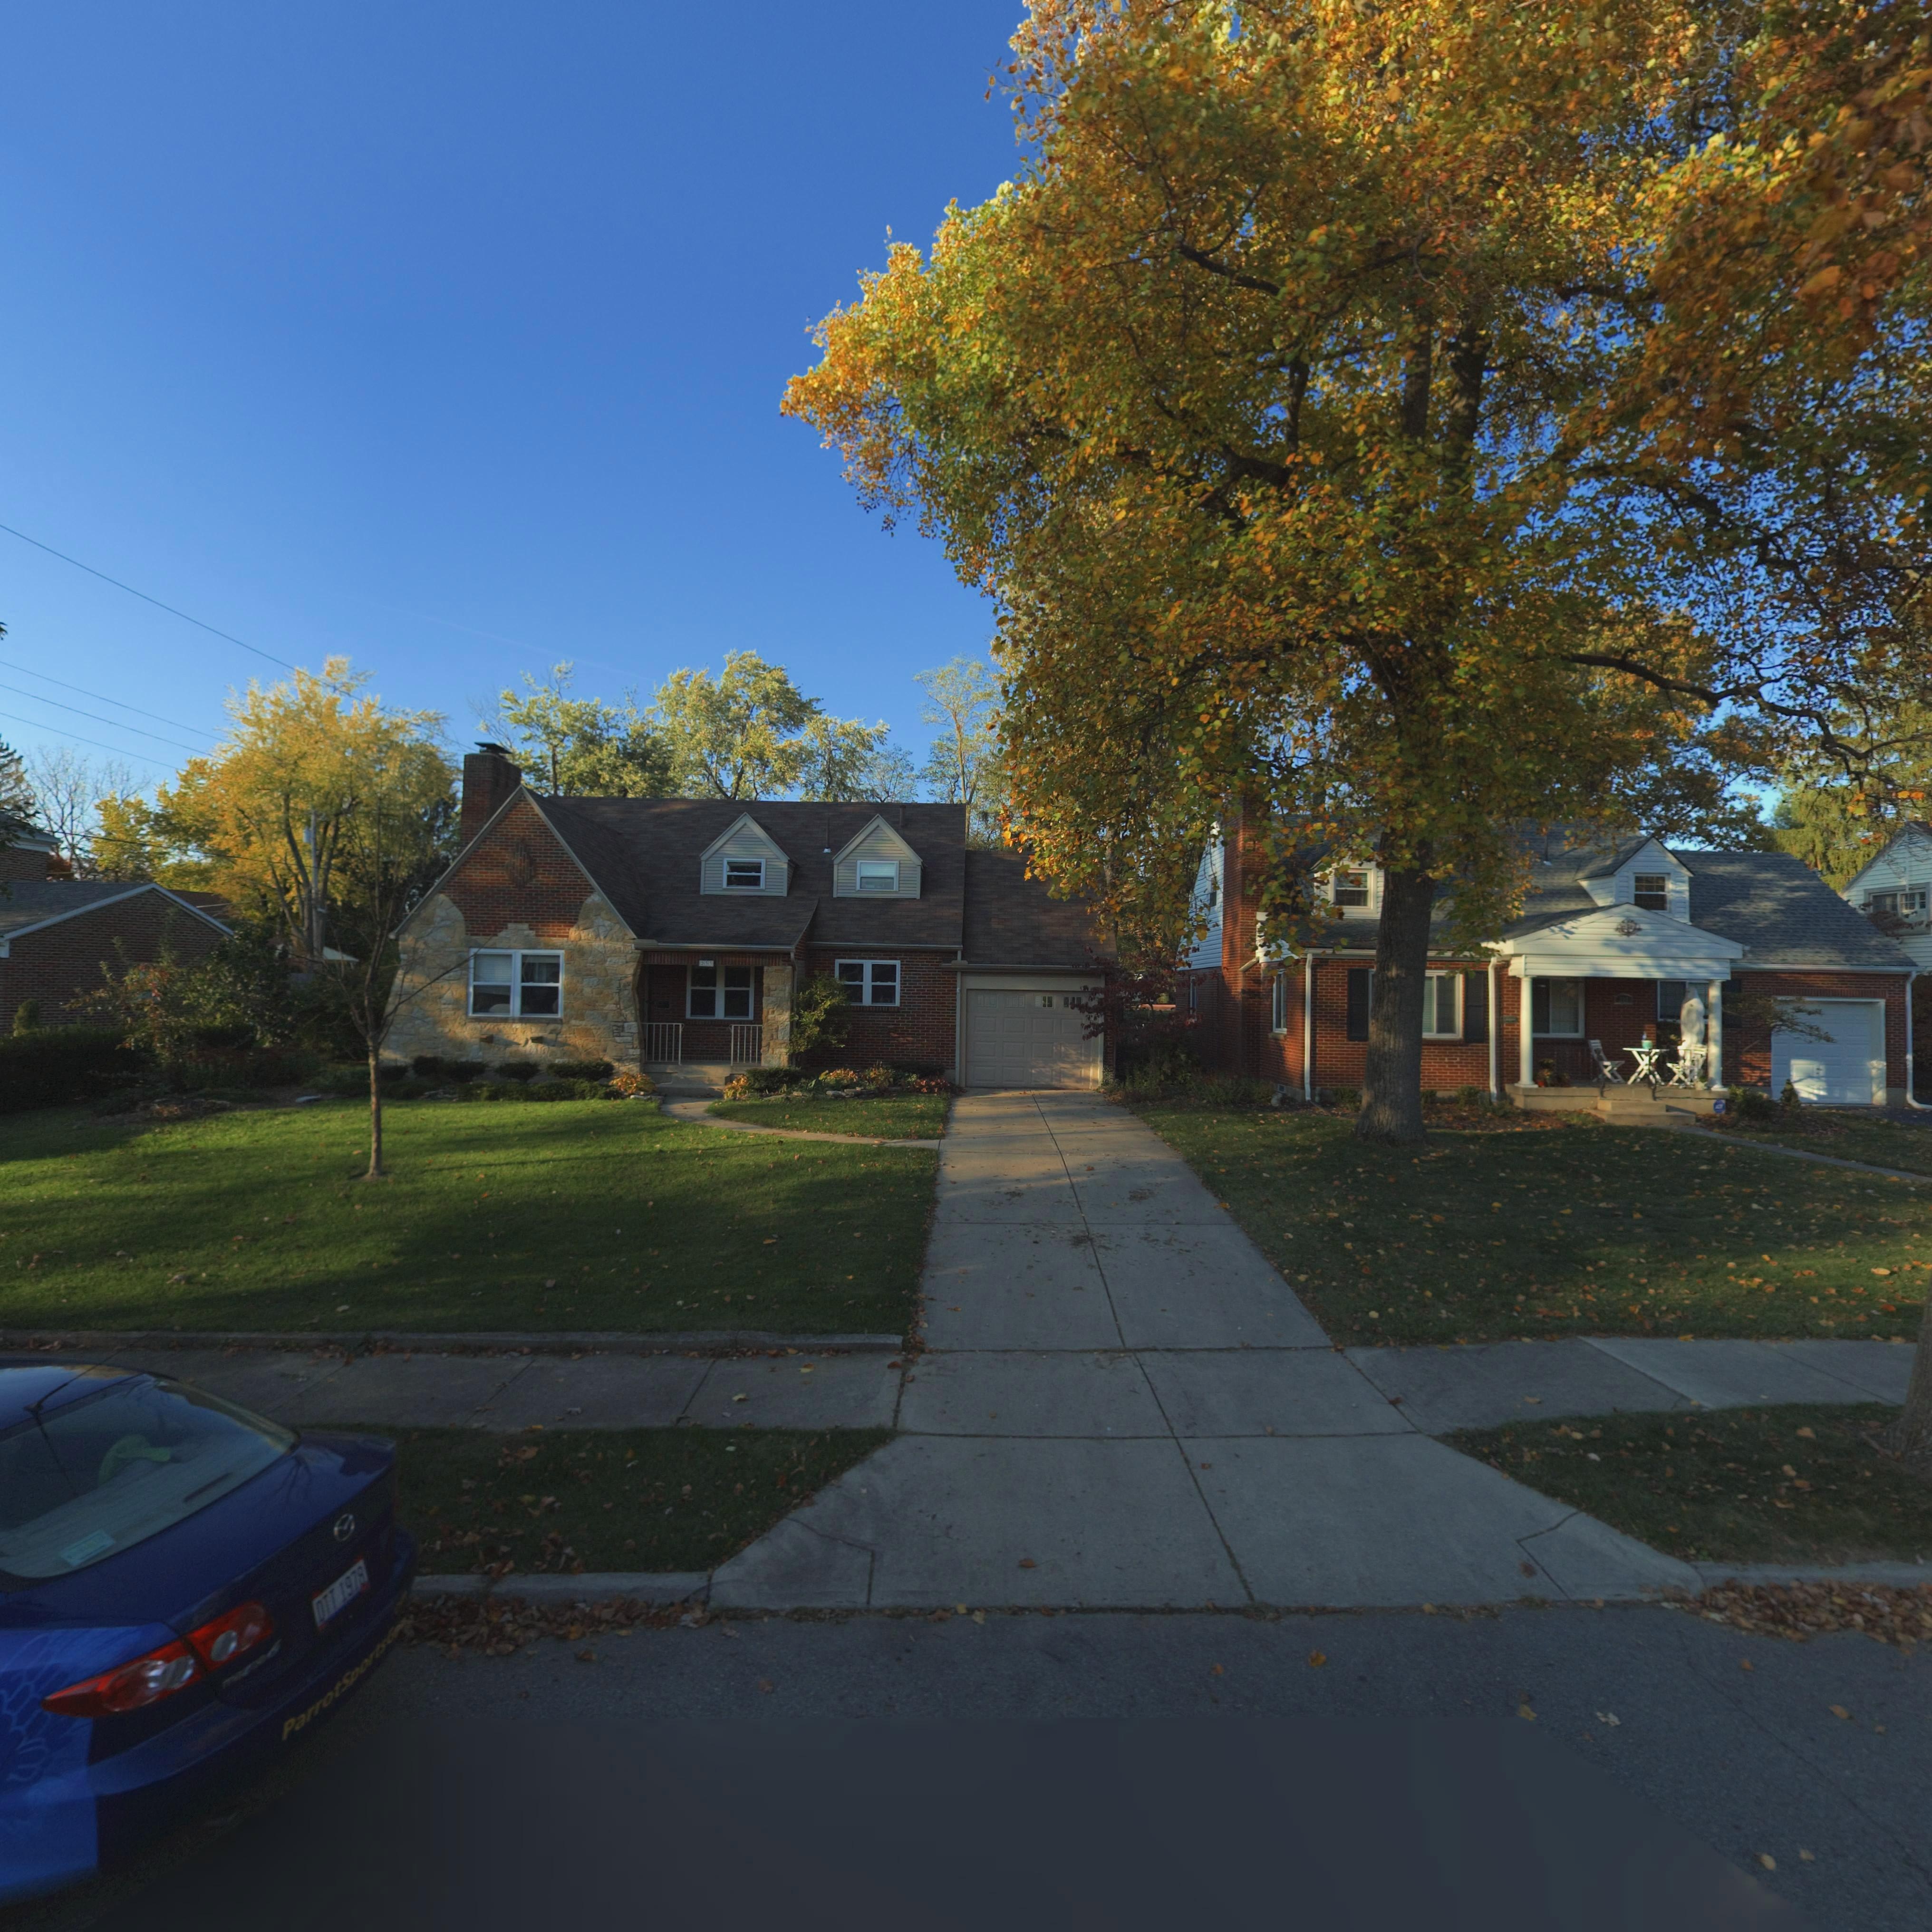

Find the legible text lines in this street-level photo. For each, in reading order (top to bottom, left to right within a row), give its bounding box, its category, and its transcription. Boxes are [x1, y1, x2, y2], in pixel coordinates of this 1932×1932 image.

[701, 961, 712, 966] StreetNumber: 23*
[1618, 996, 1629, 1003] StreetNumber: **7